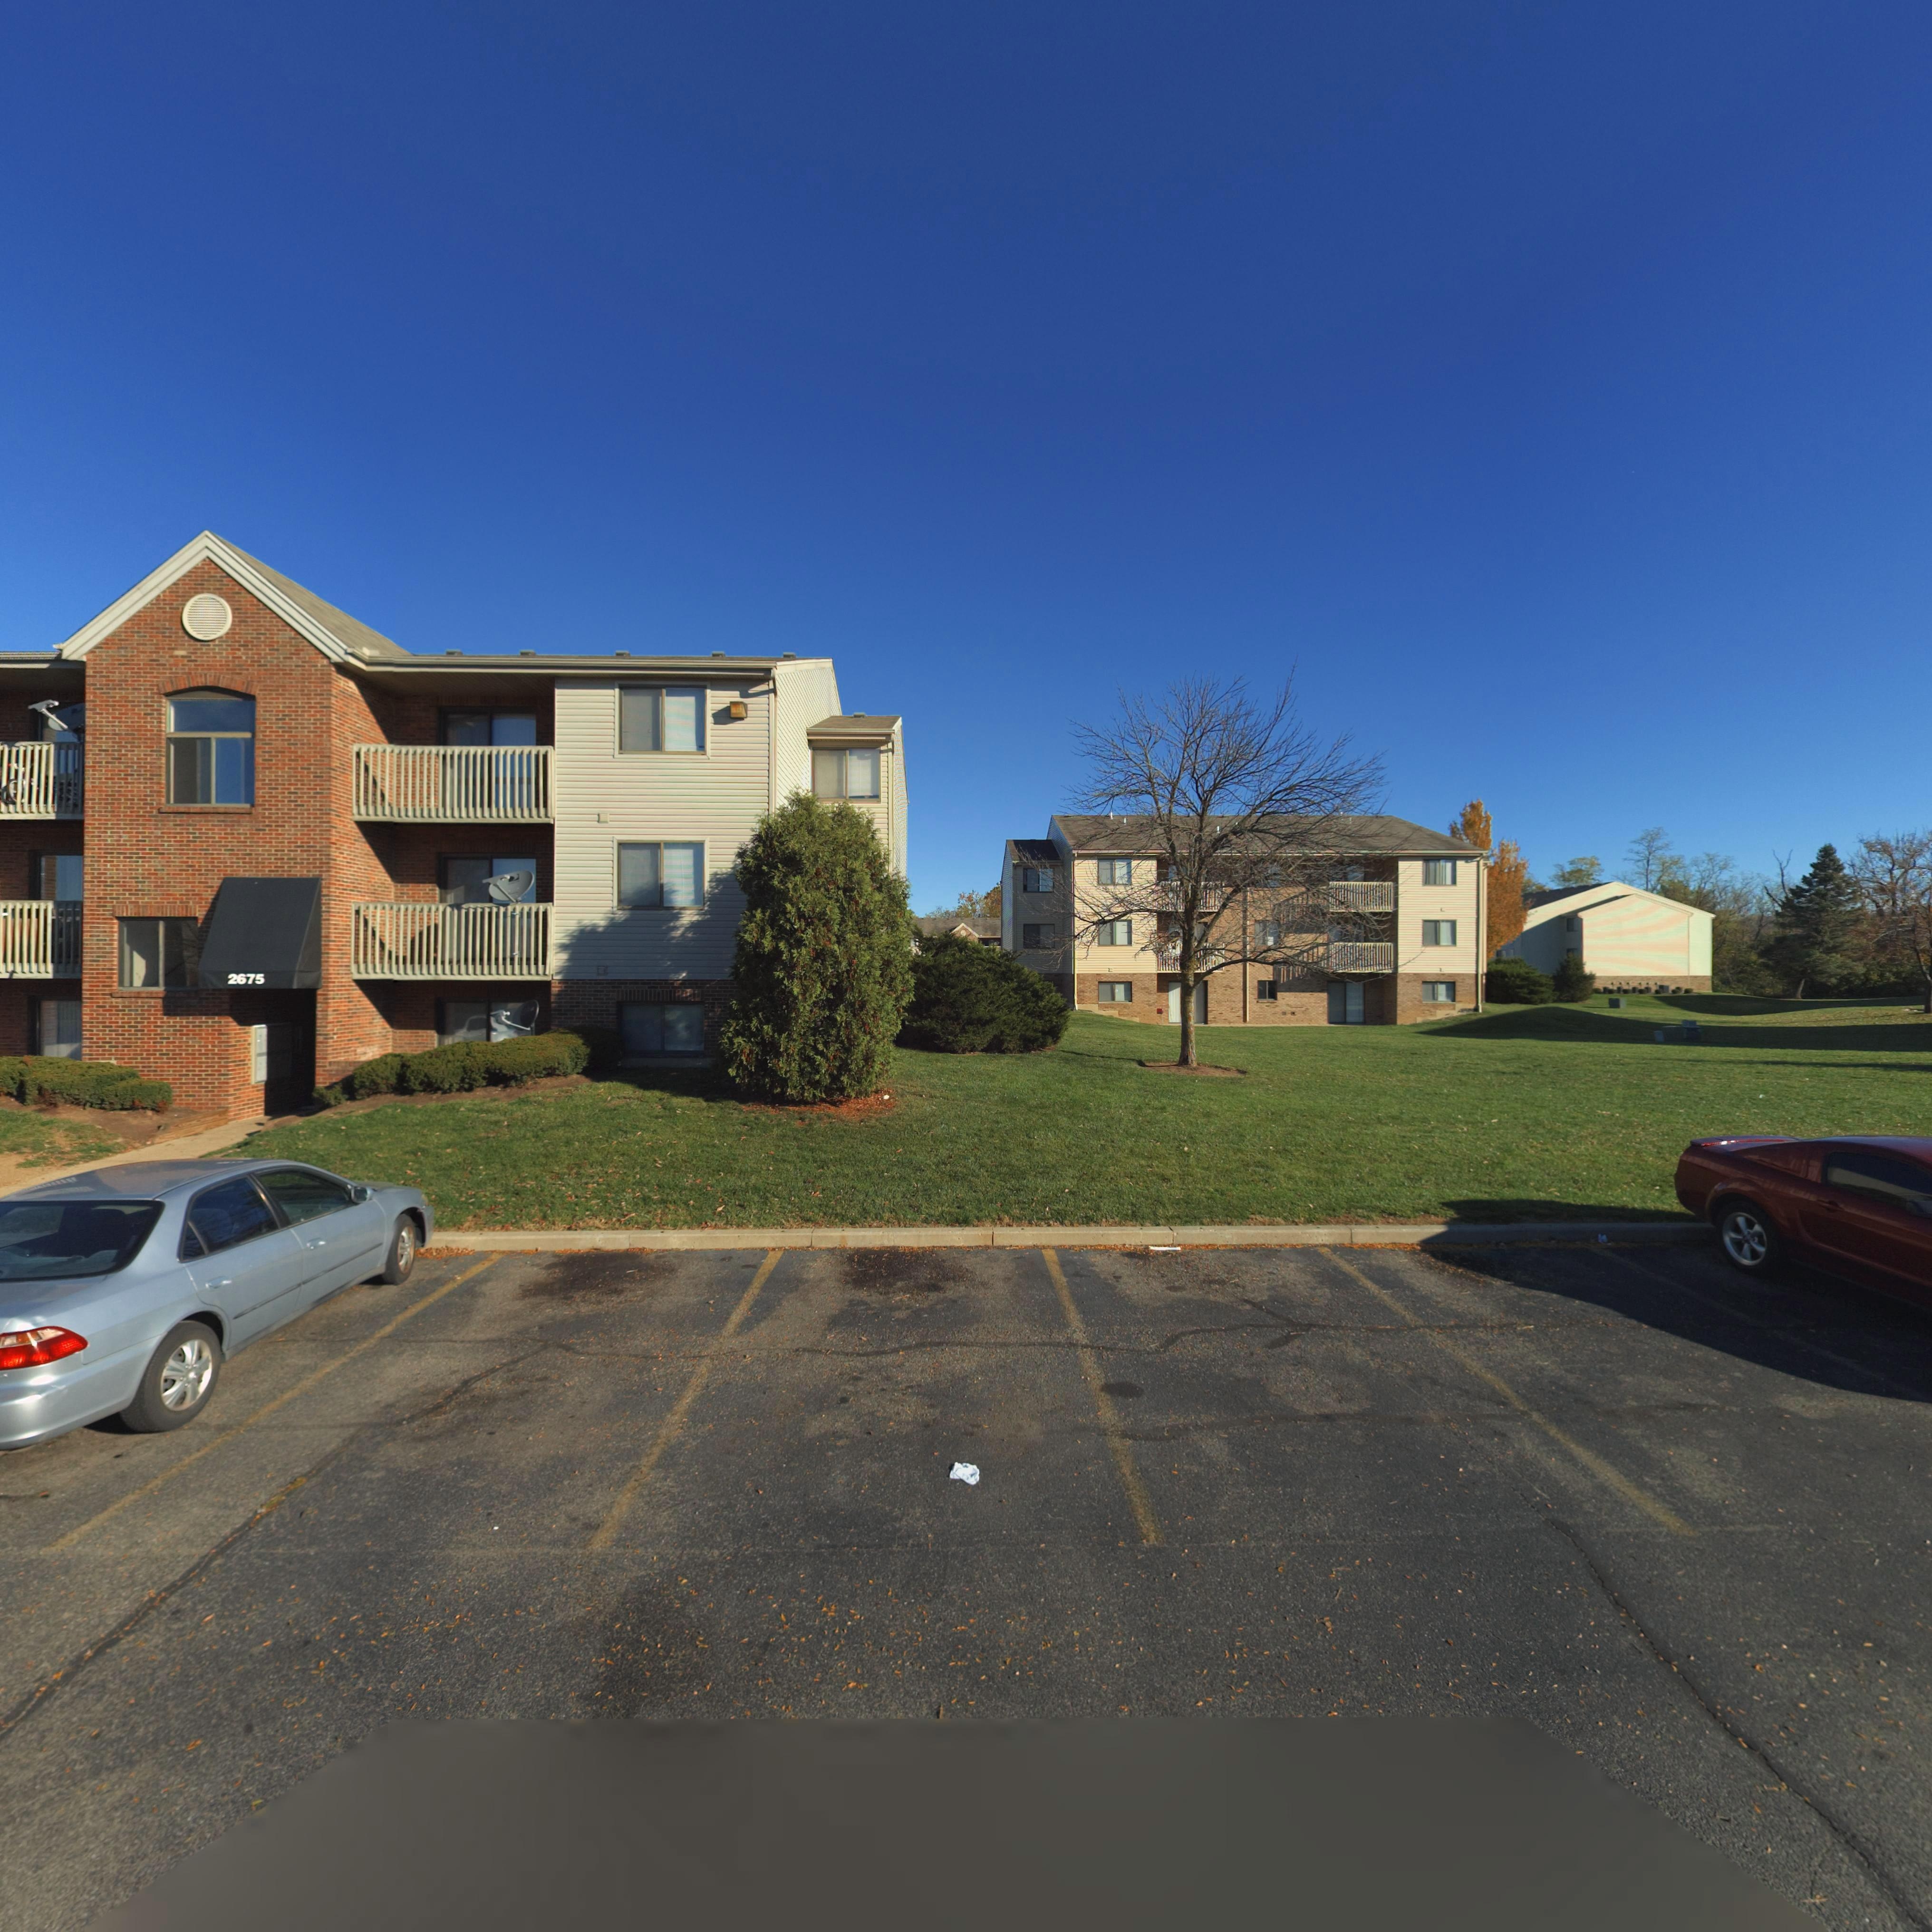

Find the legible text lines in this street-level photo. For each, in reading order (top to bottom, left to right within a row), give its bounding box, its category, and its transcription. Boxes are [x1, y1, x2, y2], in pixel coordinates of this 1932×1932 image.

[226, 973, 266, 985] StreetNumber: 2675